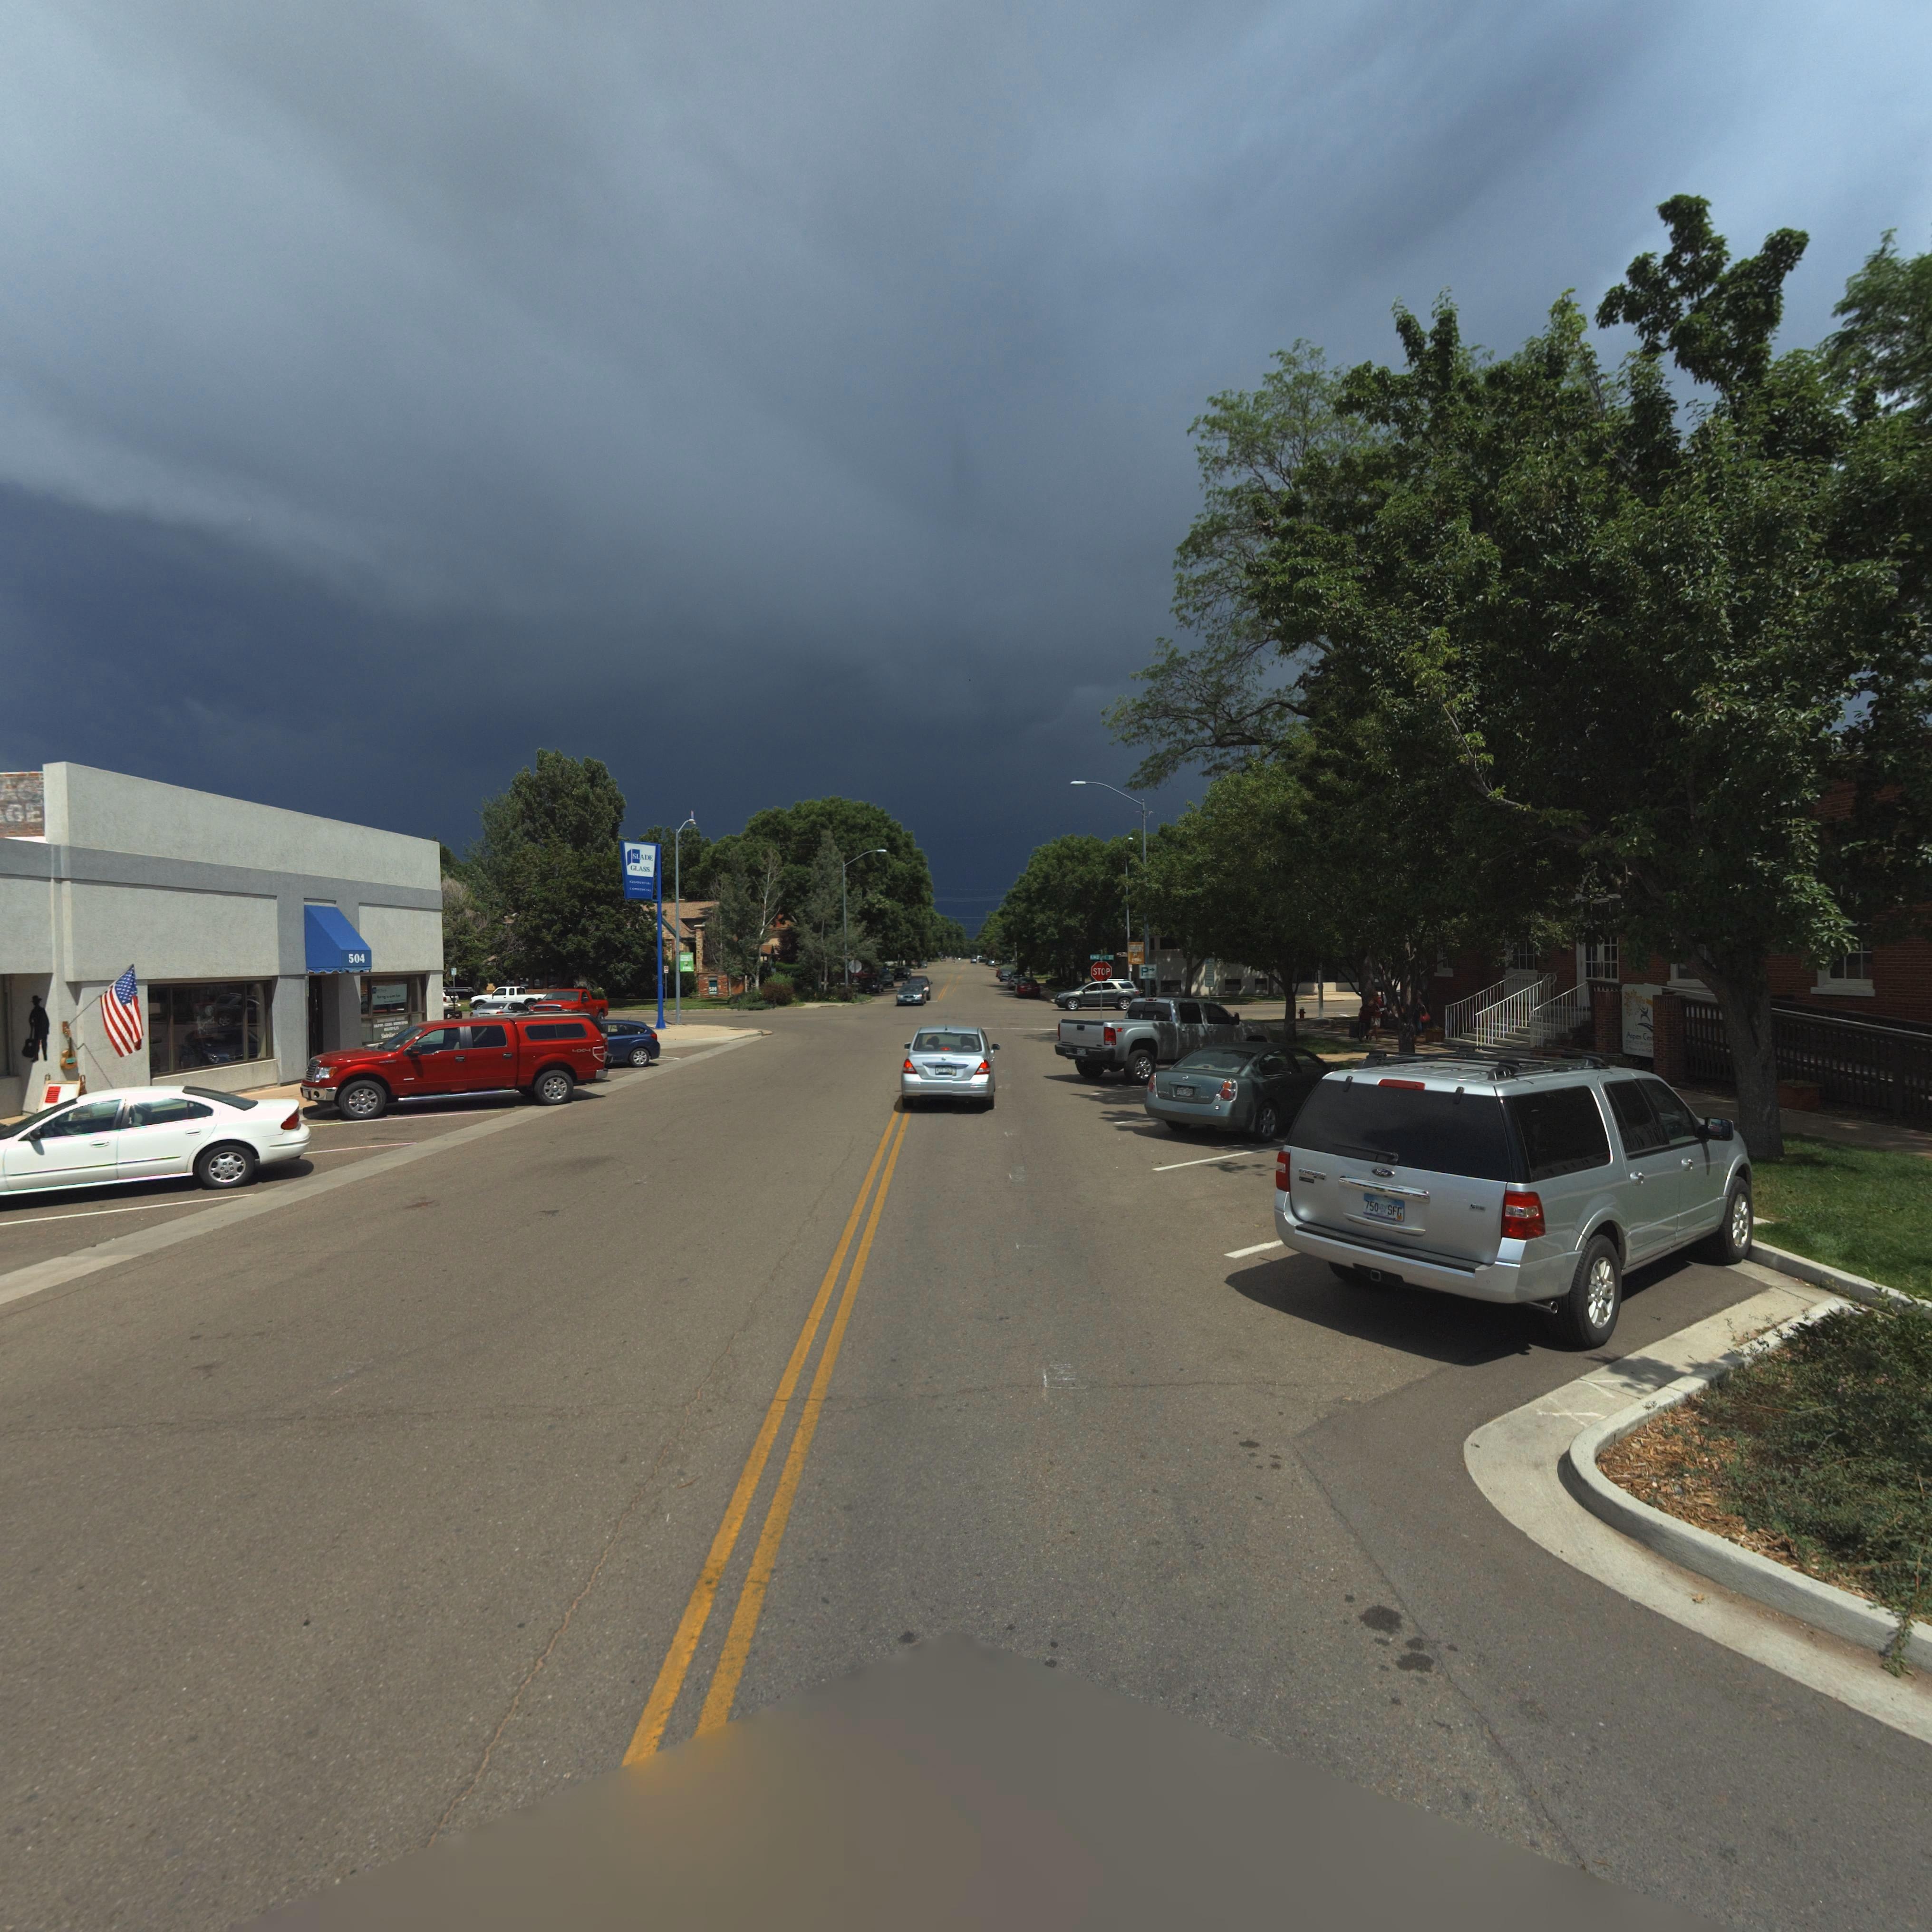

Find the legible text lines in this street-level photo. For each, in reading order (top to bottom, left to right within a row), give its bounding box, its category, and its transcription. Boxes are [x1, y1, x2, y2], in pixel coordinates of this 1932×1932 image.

[632, 853, 653, 860] BusinessName: SLADE
[630, 865, 650, 872] BusinessName: GLASS
[348, 953, 365, 963] StreetNumber: 504
[1108, 955, 1113, 959] StreetName: ST